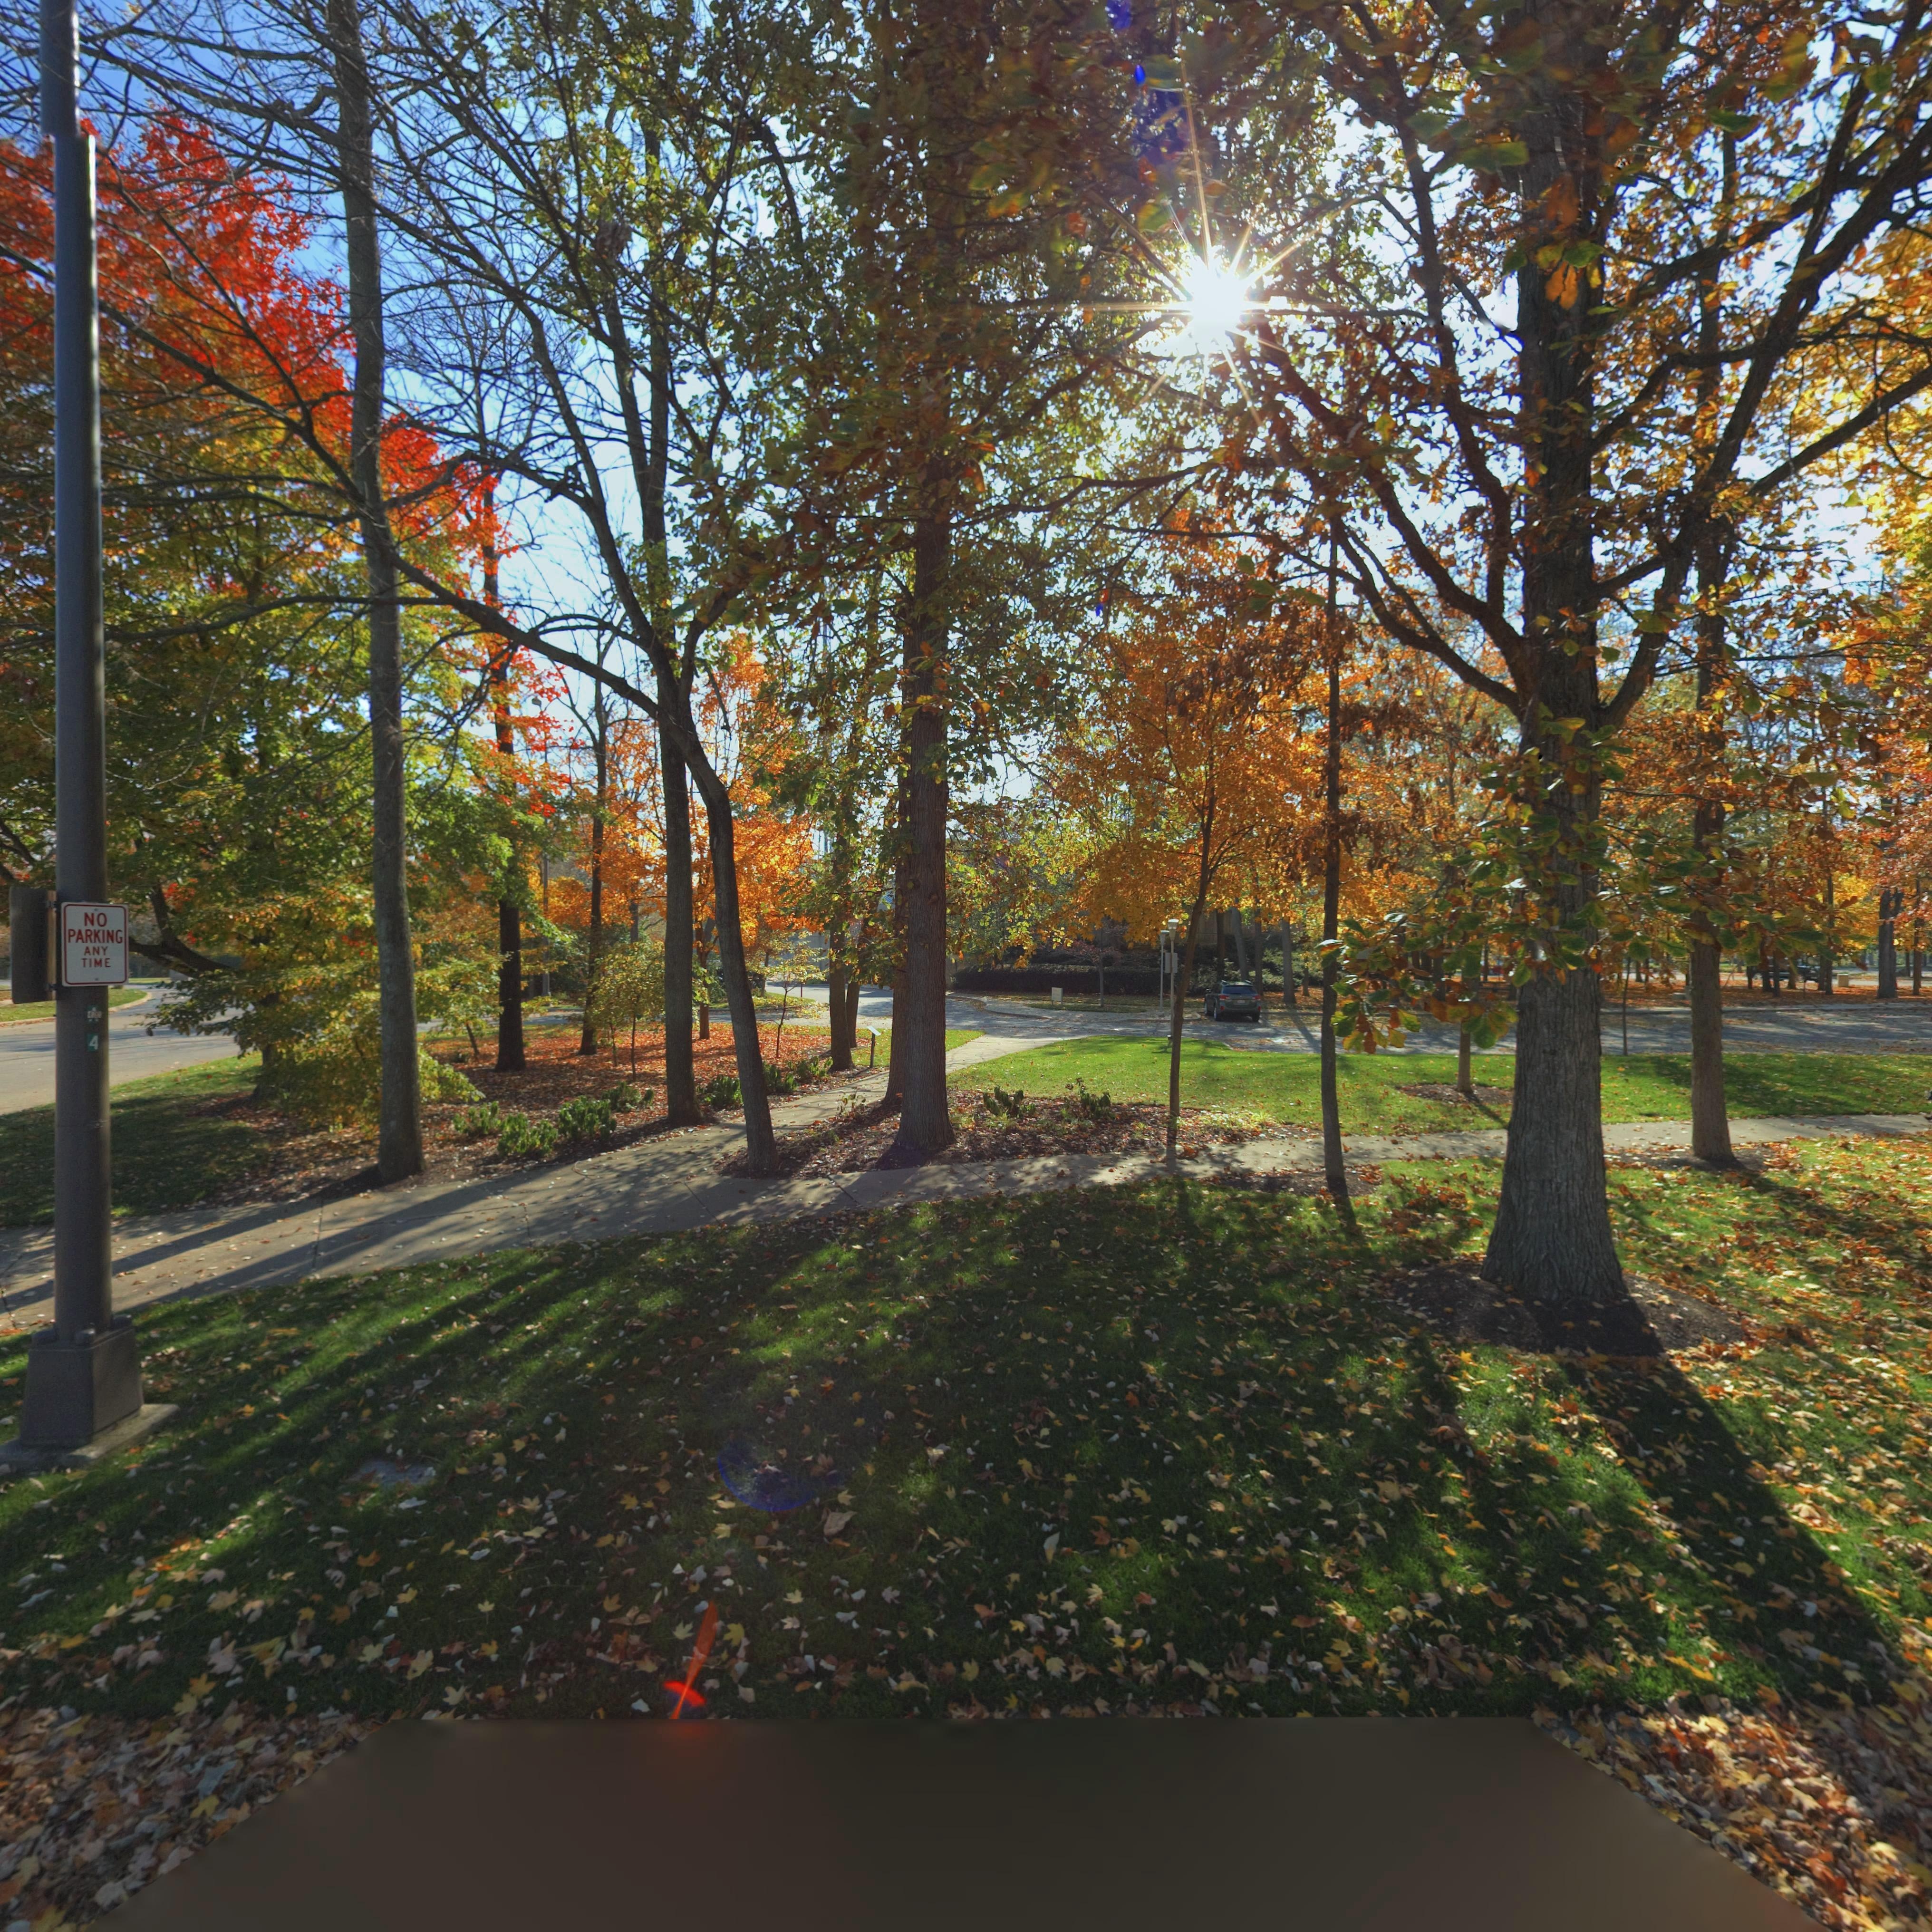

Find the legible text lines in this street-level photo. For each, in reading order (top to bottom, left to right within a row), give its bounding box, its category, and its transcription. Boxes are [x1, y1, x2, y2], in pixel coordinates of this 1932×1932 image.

[83, 911, 108, 927] None: NO
[67, 928, 123, 944] None: PARKING
[83, 945, 108, 956] None: ANY
[80, 957, 112, 968] None: TIME
[87, 1034, 99, 1050] None: 4